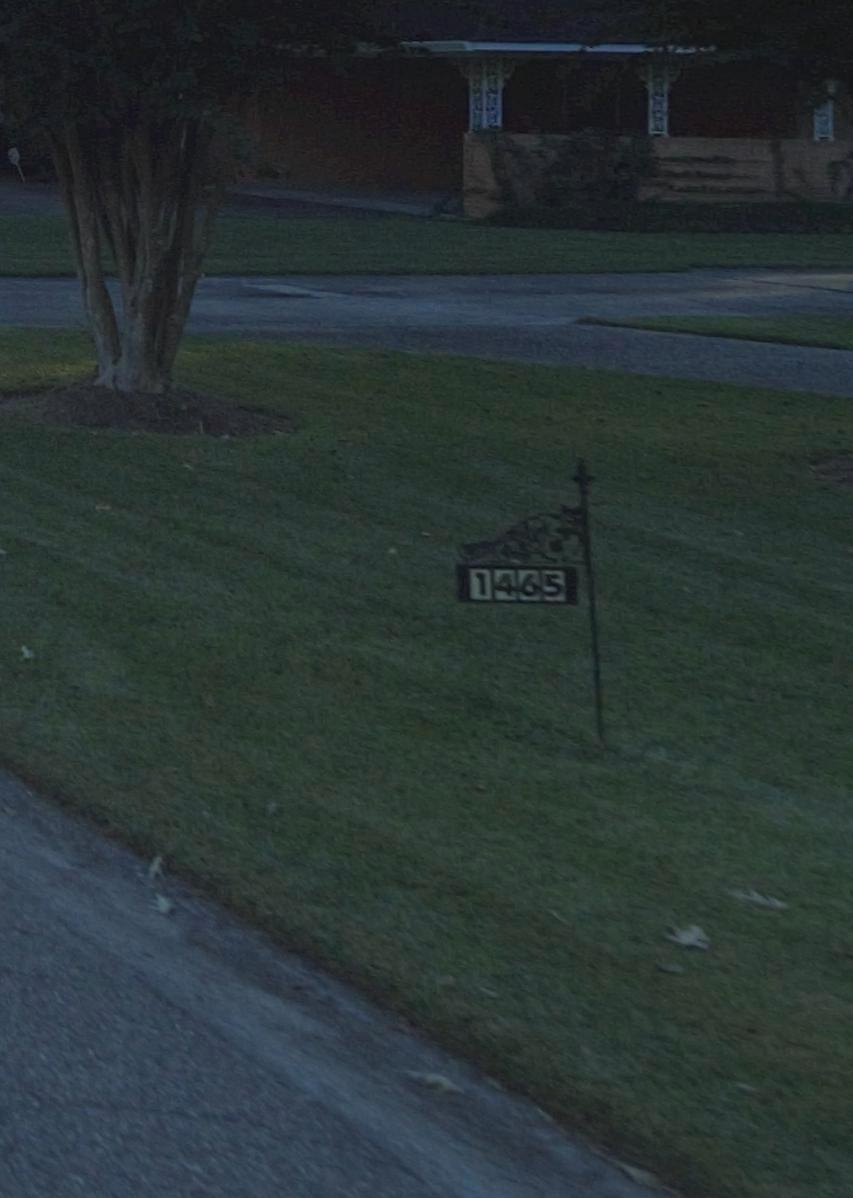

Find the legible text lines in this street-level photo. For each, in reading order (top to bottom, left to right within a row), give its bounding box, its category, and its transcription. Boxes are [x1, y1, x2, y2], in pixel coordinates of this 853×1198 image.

[473, 570, 565, 599] StreetNumber: 1465